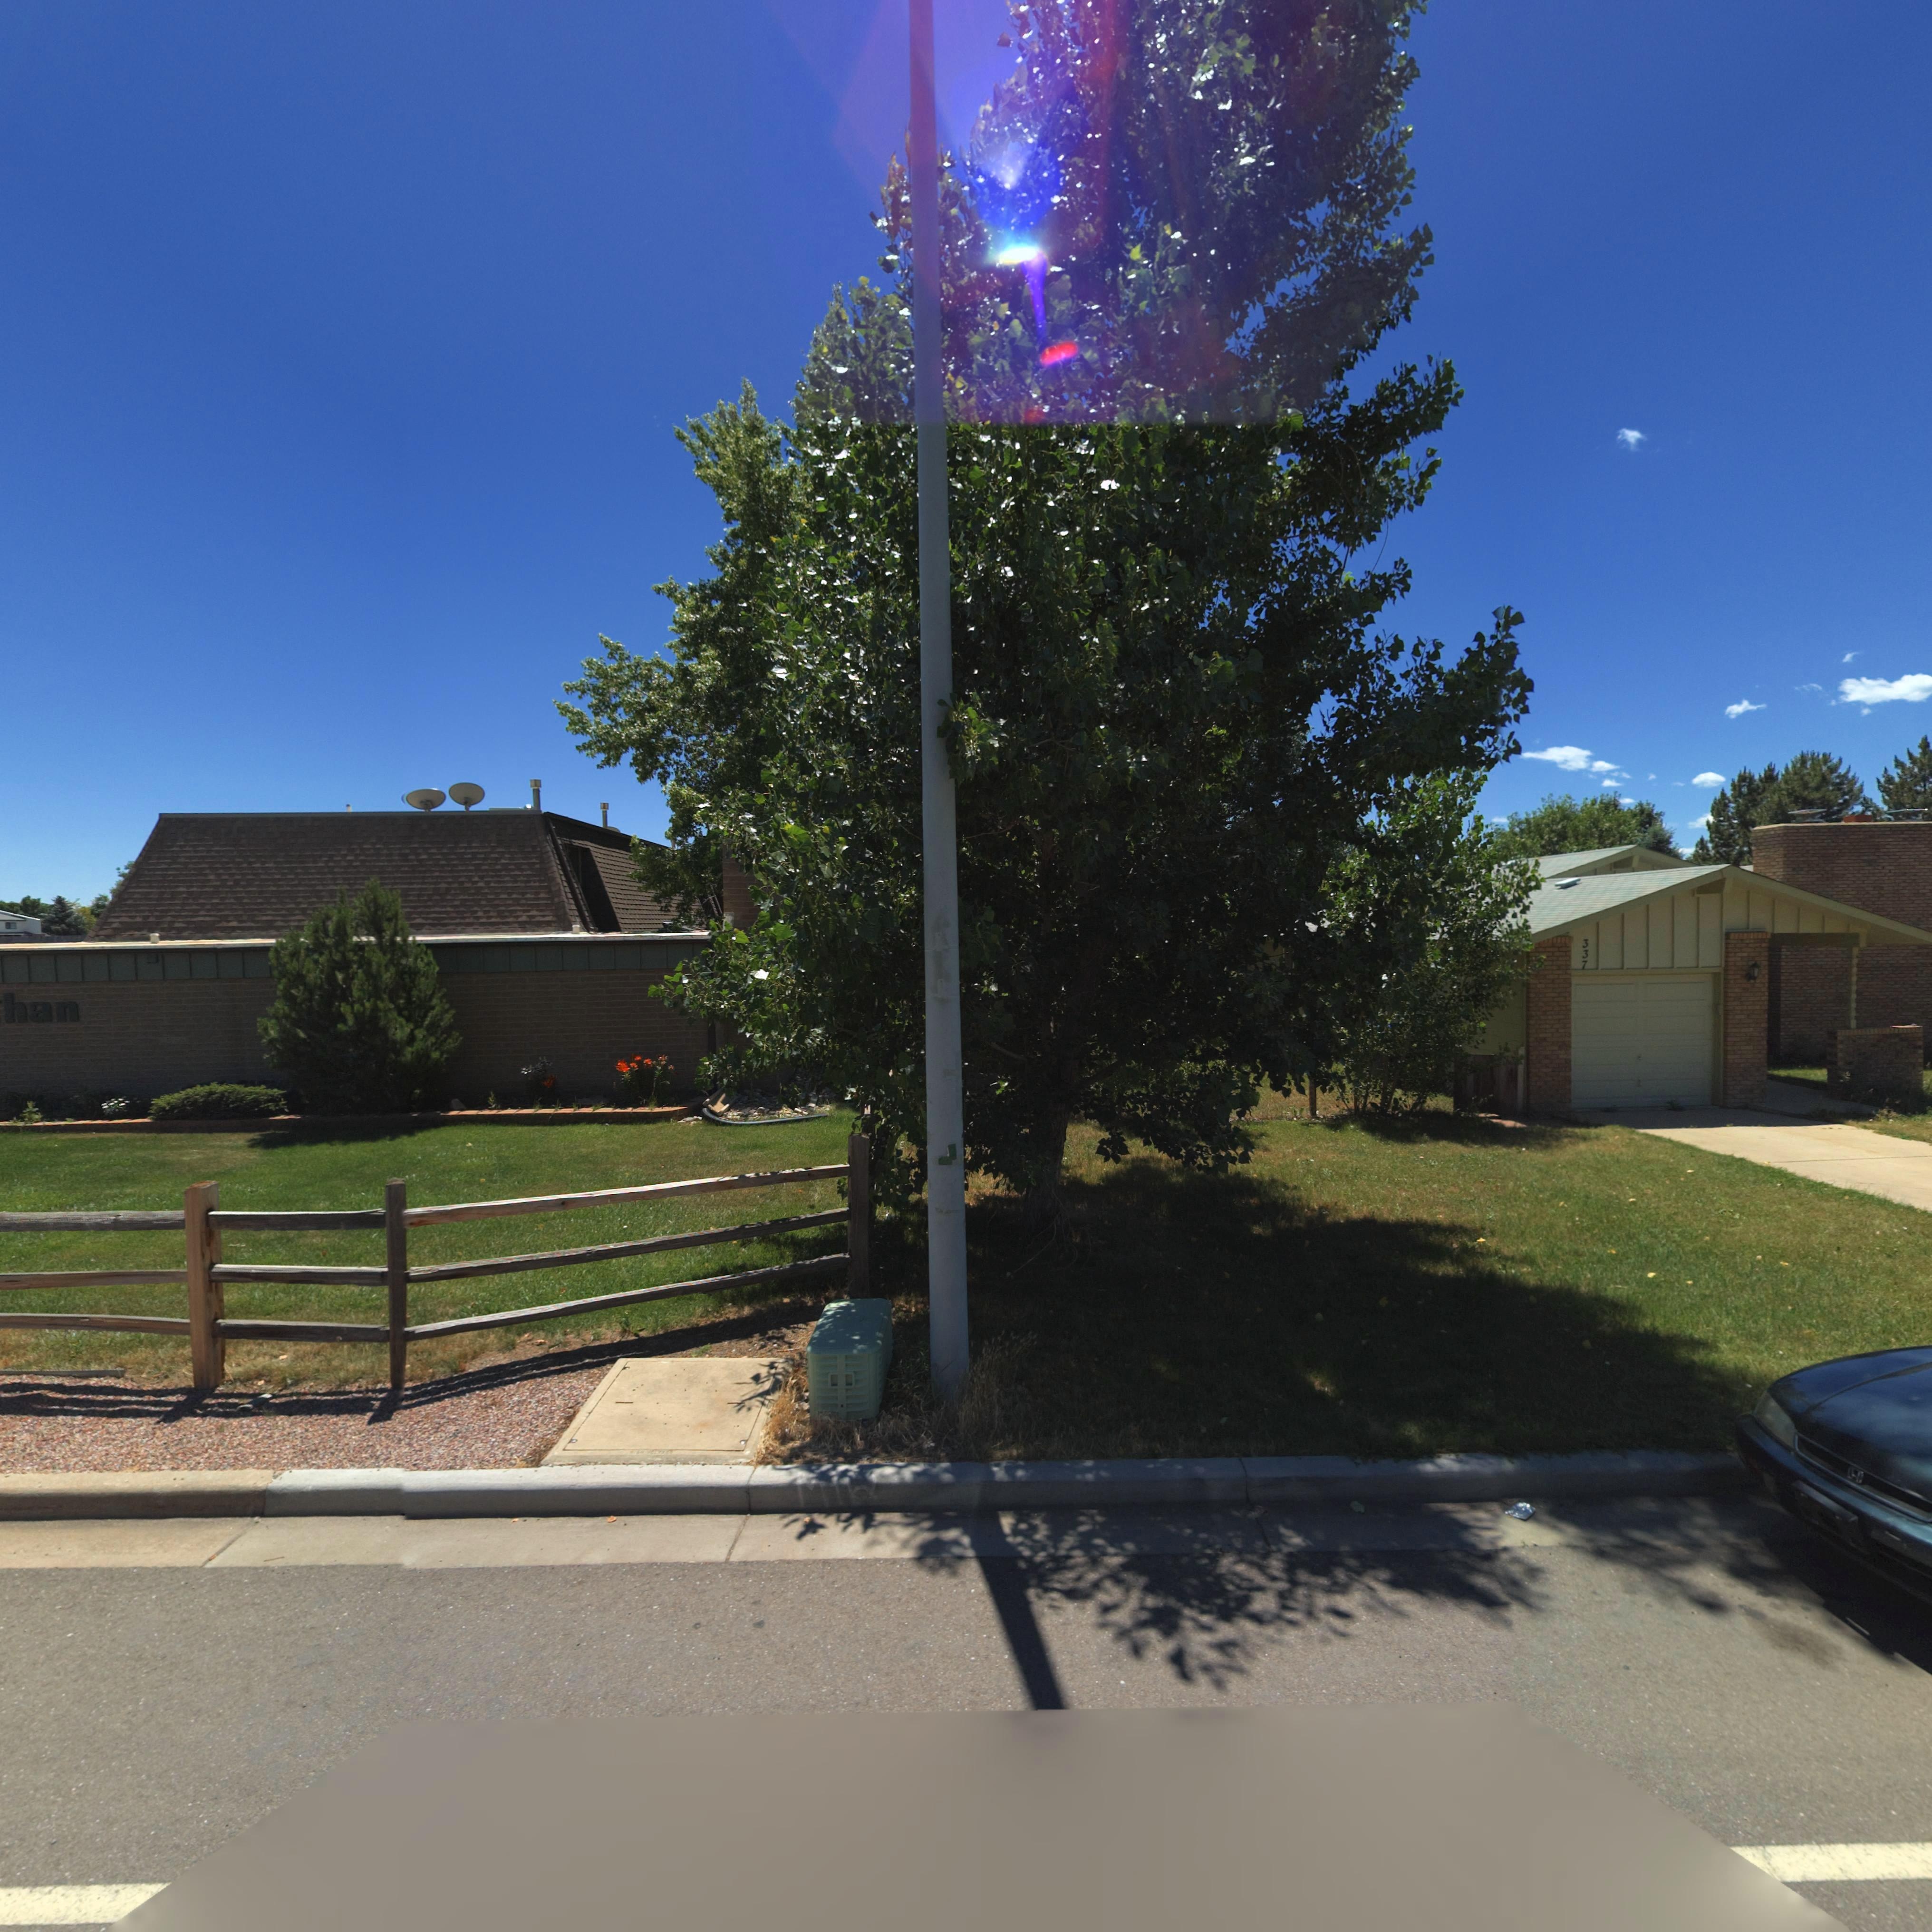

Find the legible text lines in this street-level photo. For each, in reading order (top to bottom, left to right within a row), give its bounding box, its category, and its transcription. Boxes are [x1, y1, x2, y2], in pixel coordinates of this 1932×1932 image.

[1581, 938, 1589, 969] StreetNumber: 337
[2, 991, 80, 1025] BusinessName: han